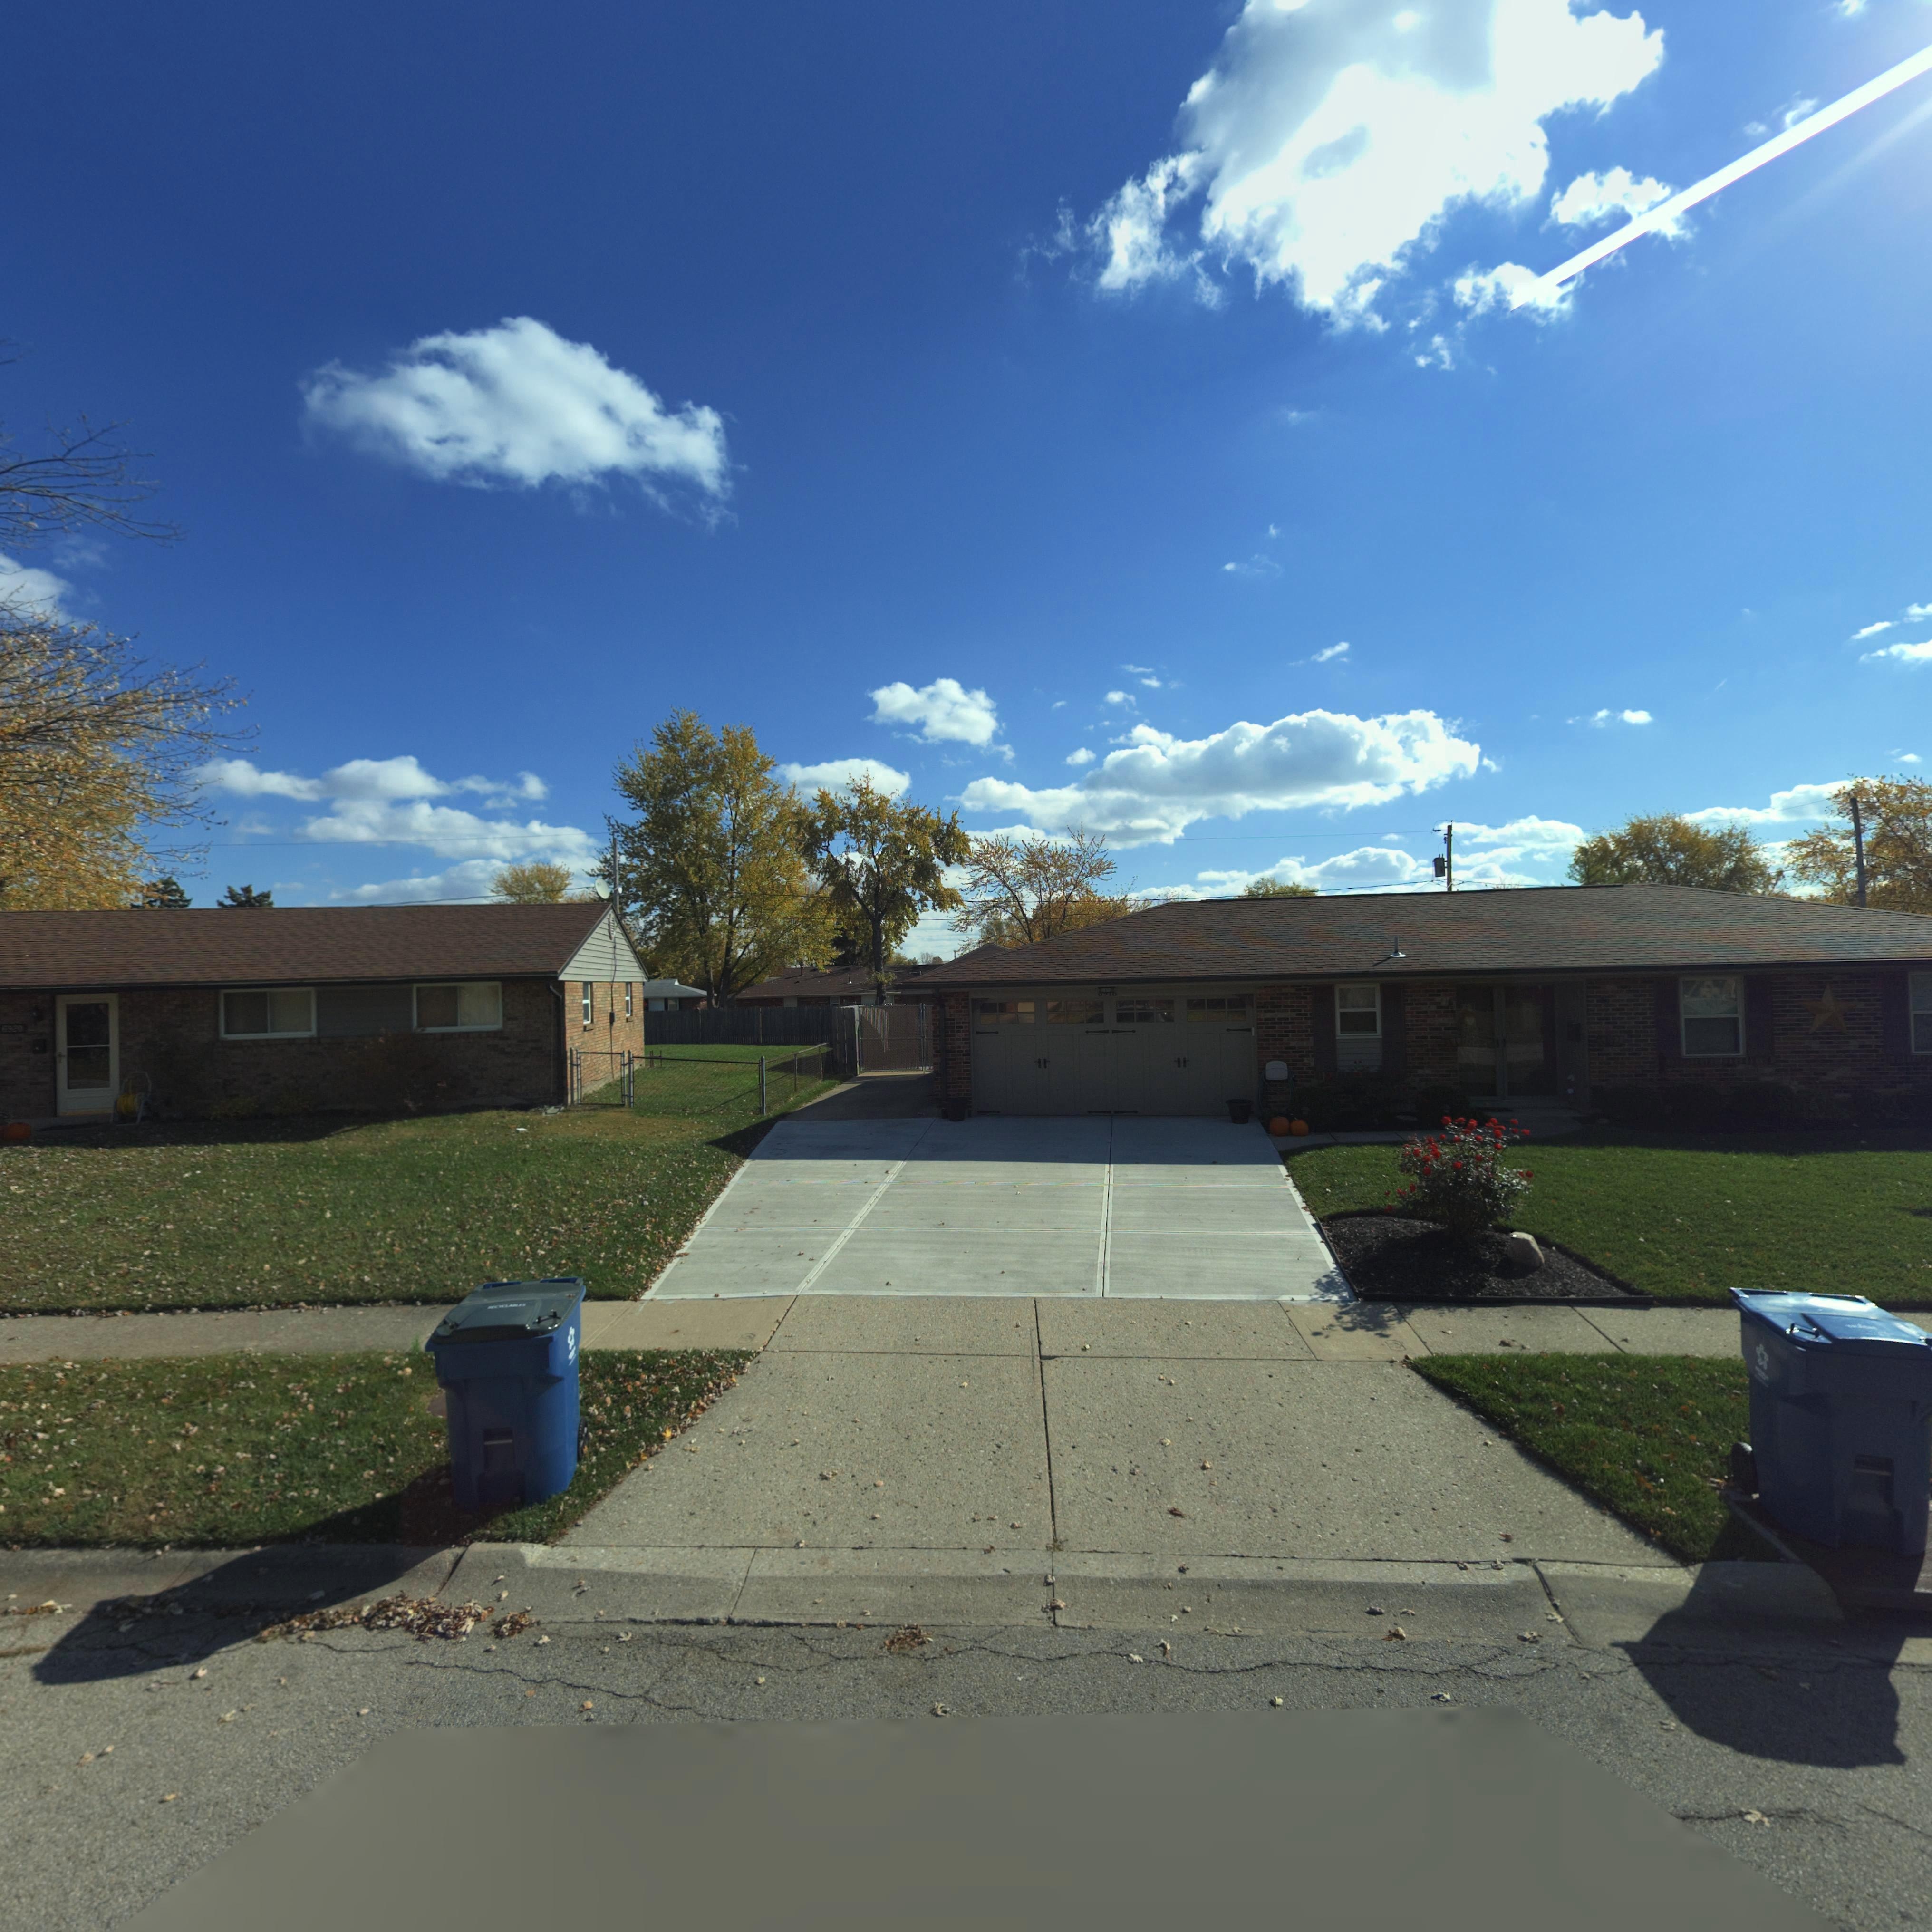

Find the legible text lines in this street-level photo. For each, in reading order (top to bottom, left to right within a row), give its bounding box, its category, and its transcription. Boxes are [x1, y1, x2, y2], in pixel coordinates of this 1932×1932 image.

[1111, 989, 1118, 997] StreetNumber: 6
[0, 1024, 25, 1035] StreetNumber: 6920